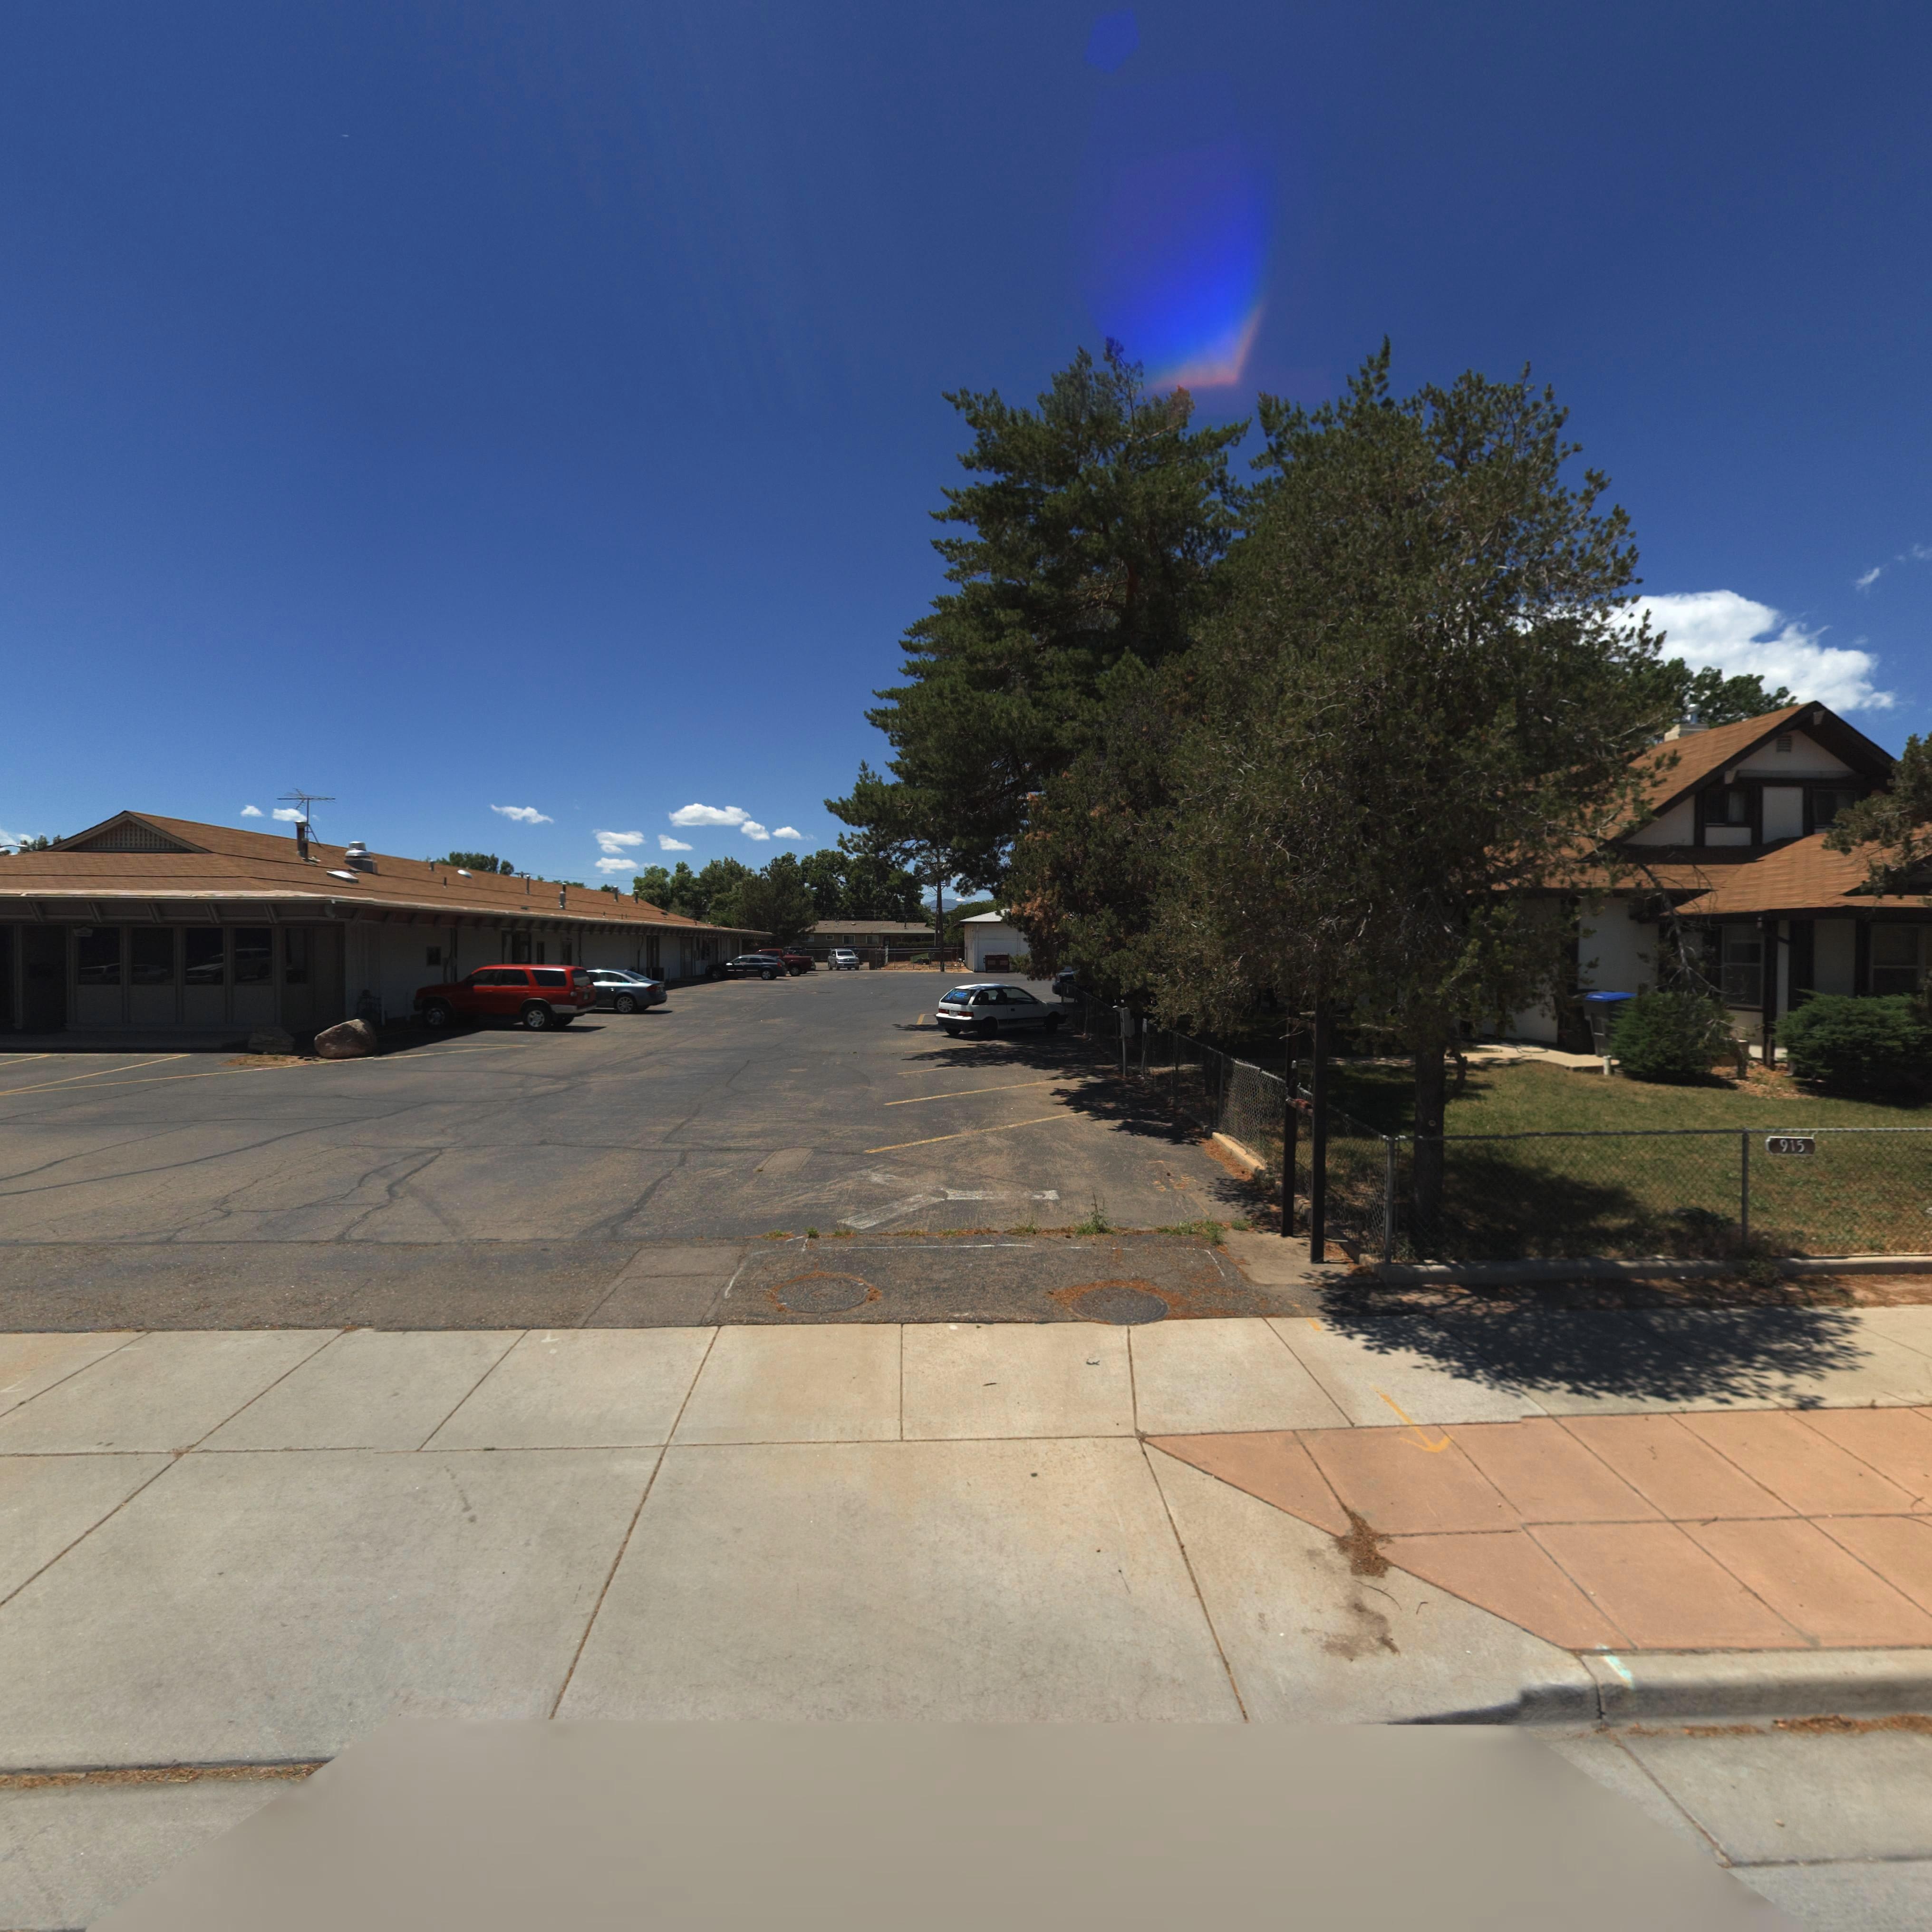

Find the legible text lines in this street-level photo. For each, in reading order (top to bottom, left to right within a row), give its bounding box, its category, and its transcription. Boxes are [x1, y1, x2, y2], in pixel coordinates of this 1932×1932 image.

[1778, 1138, 1806, 1153] StreetNumber: 915